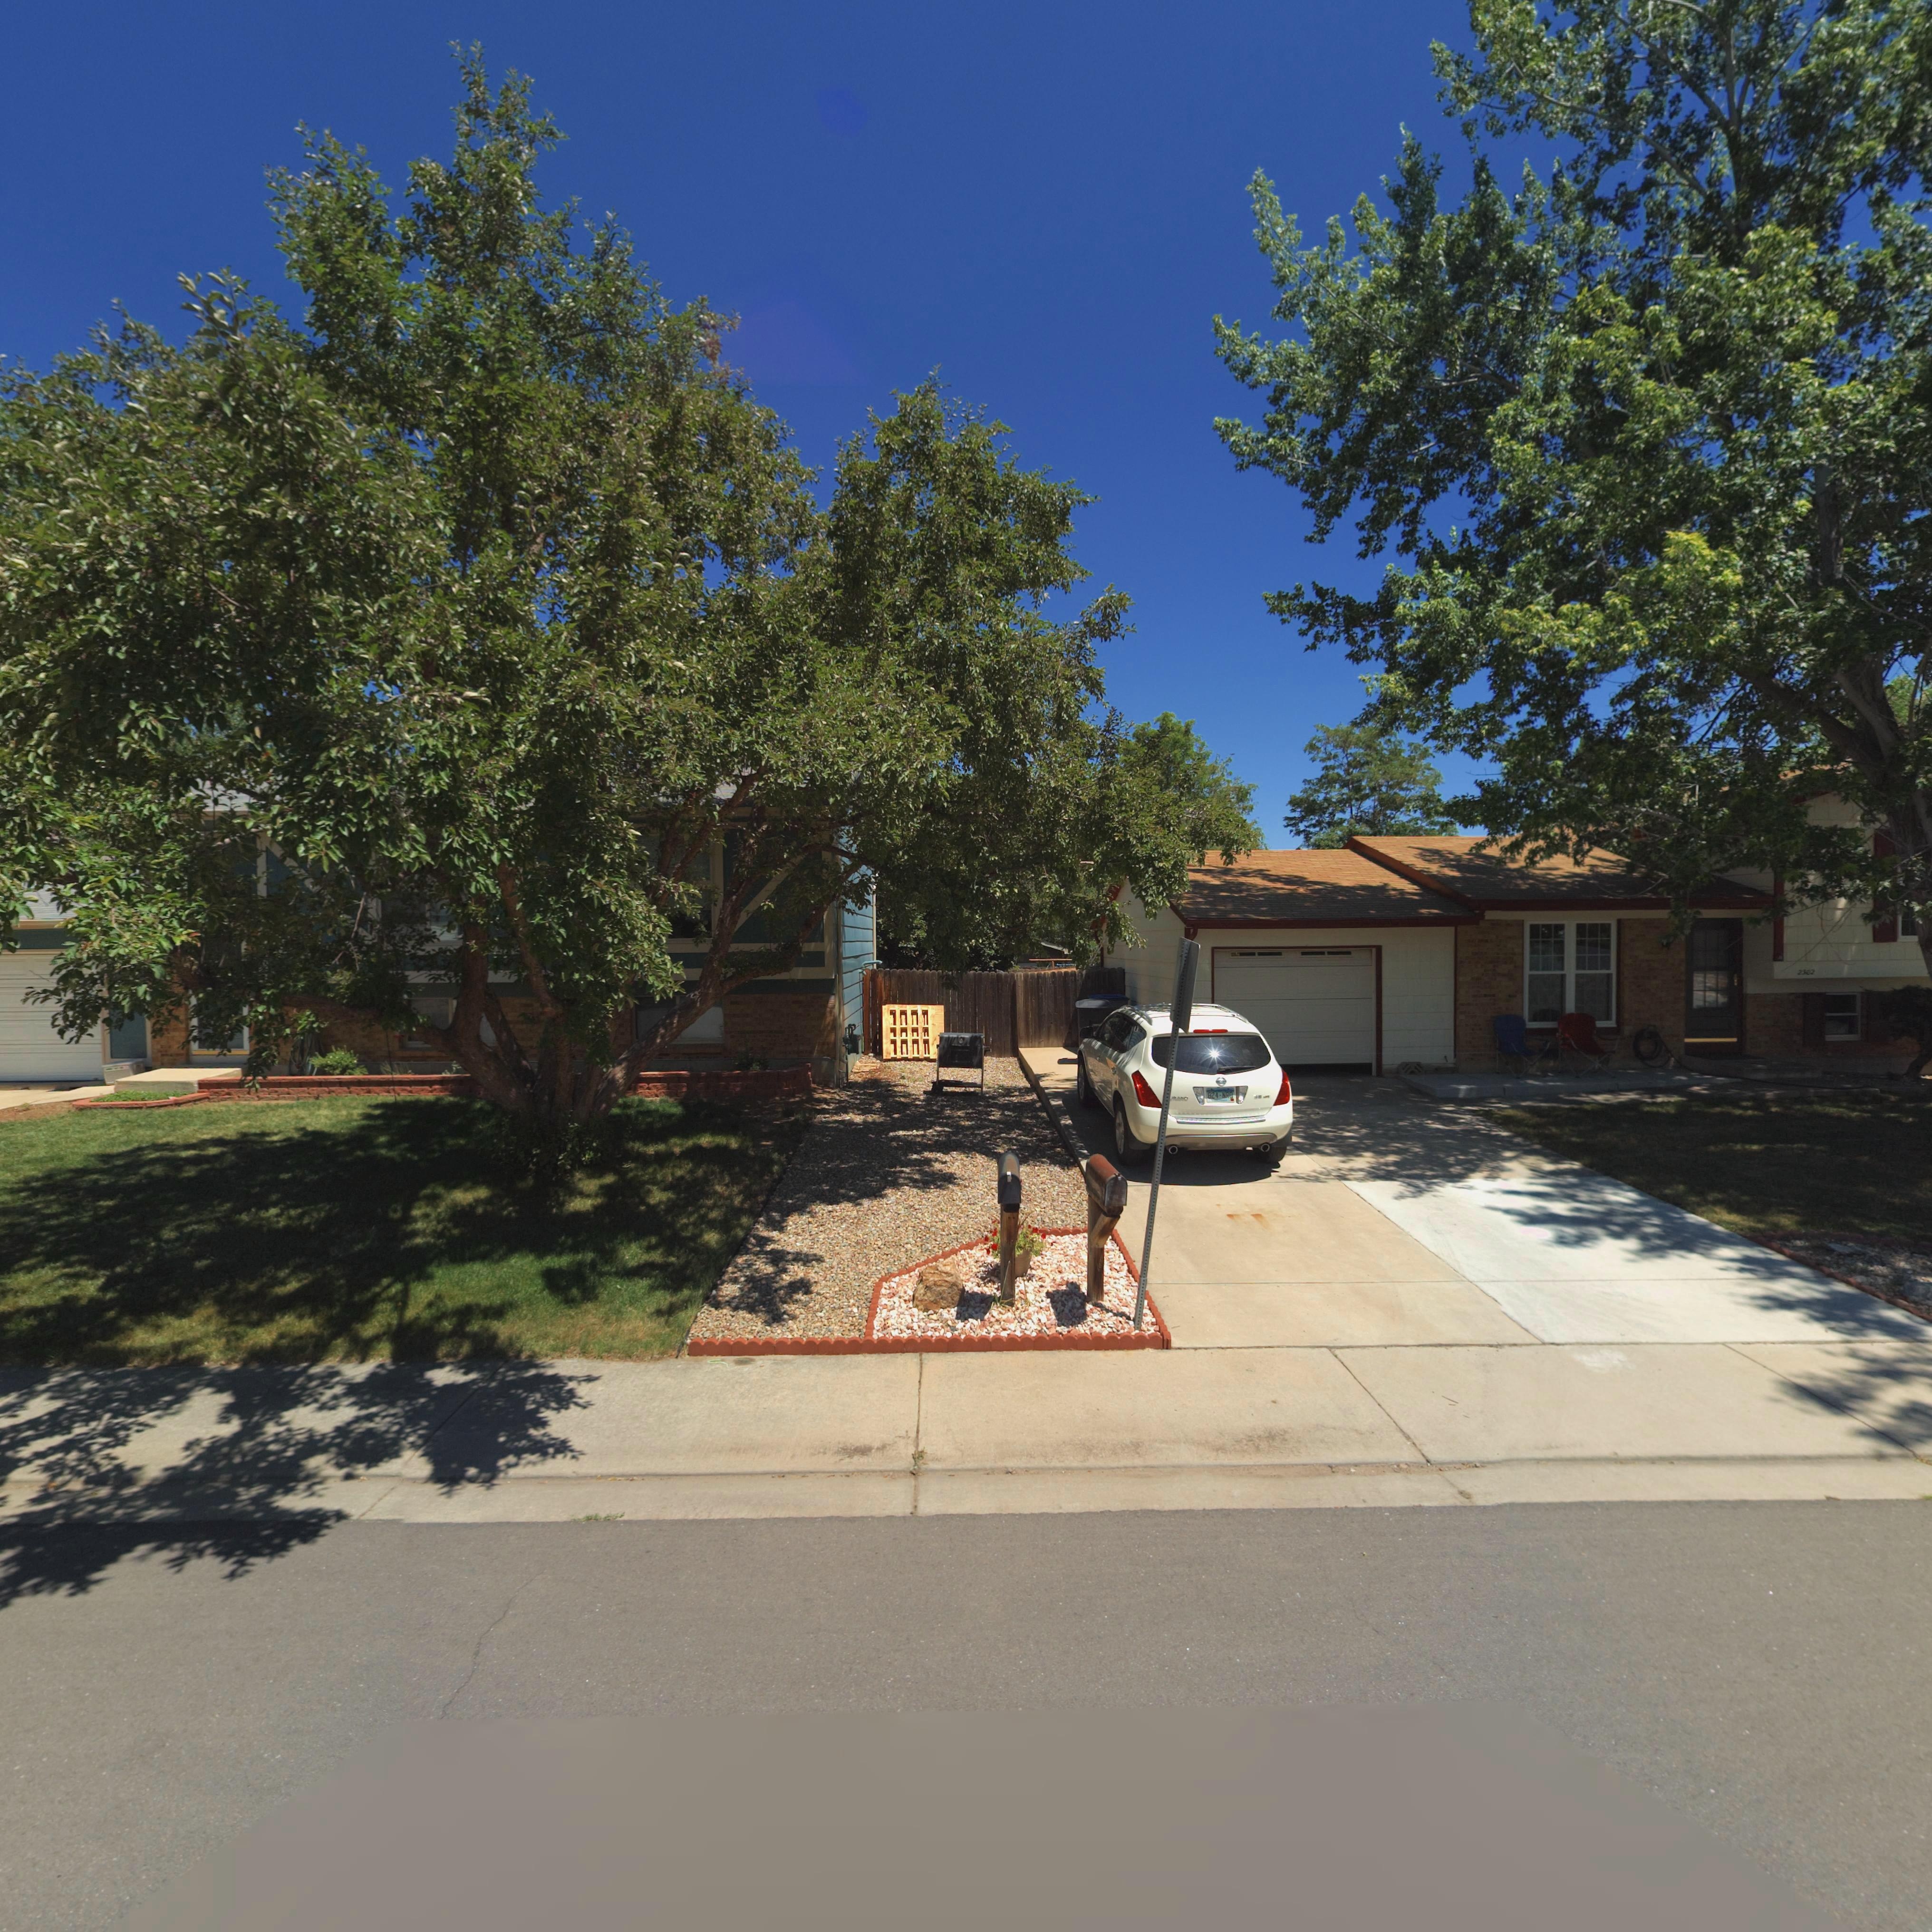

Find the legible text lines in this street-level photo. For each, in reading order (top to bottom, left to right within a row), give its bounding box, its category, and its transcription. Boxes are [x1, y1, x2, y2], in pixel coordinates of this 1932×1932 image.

[1796, 969, 1816, 975] StreetNumber: 2302